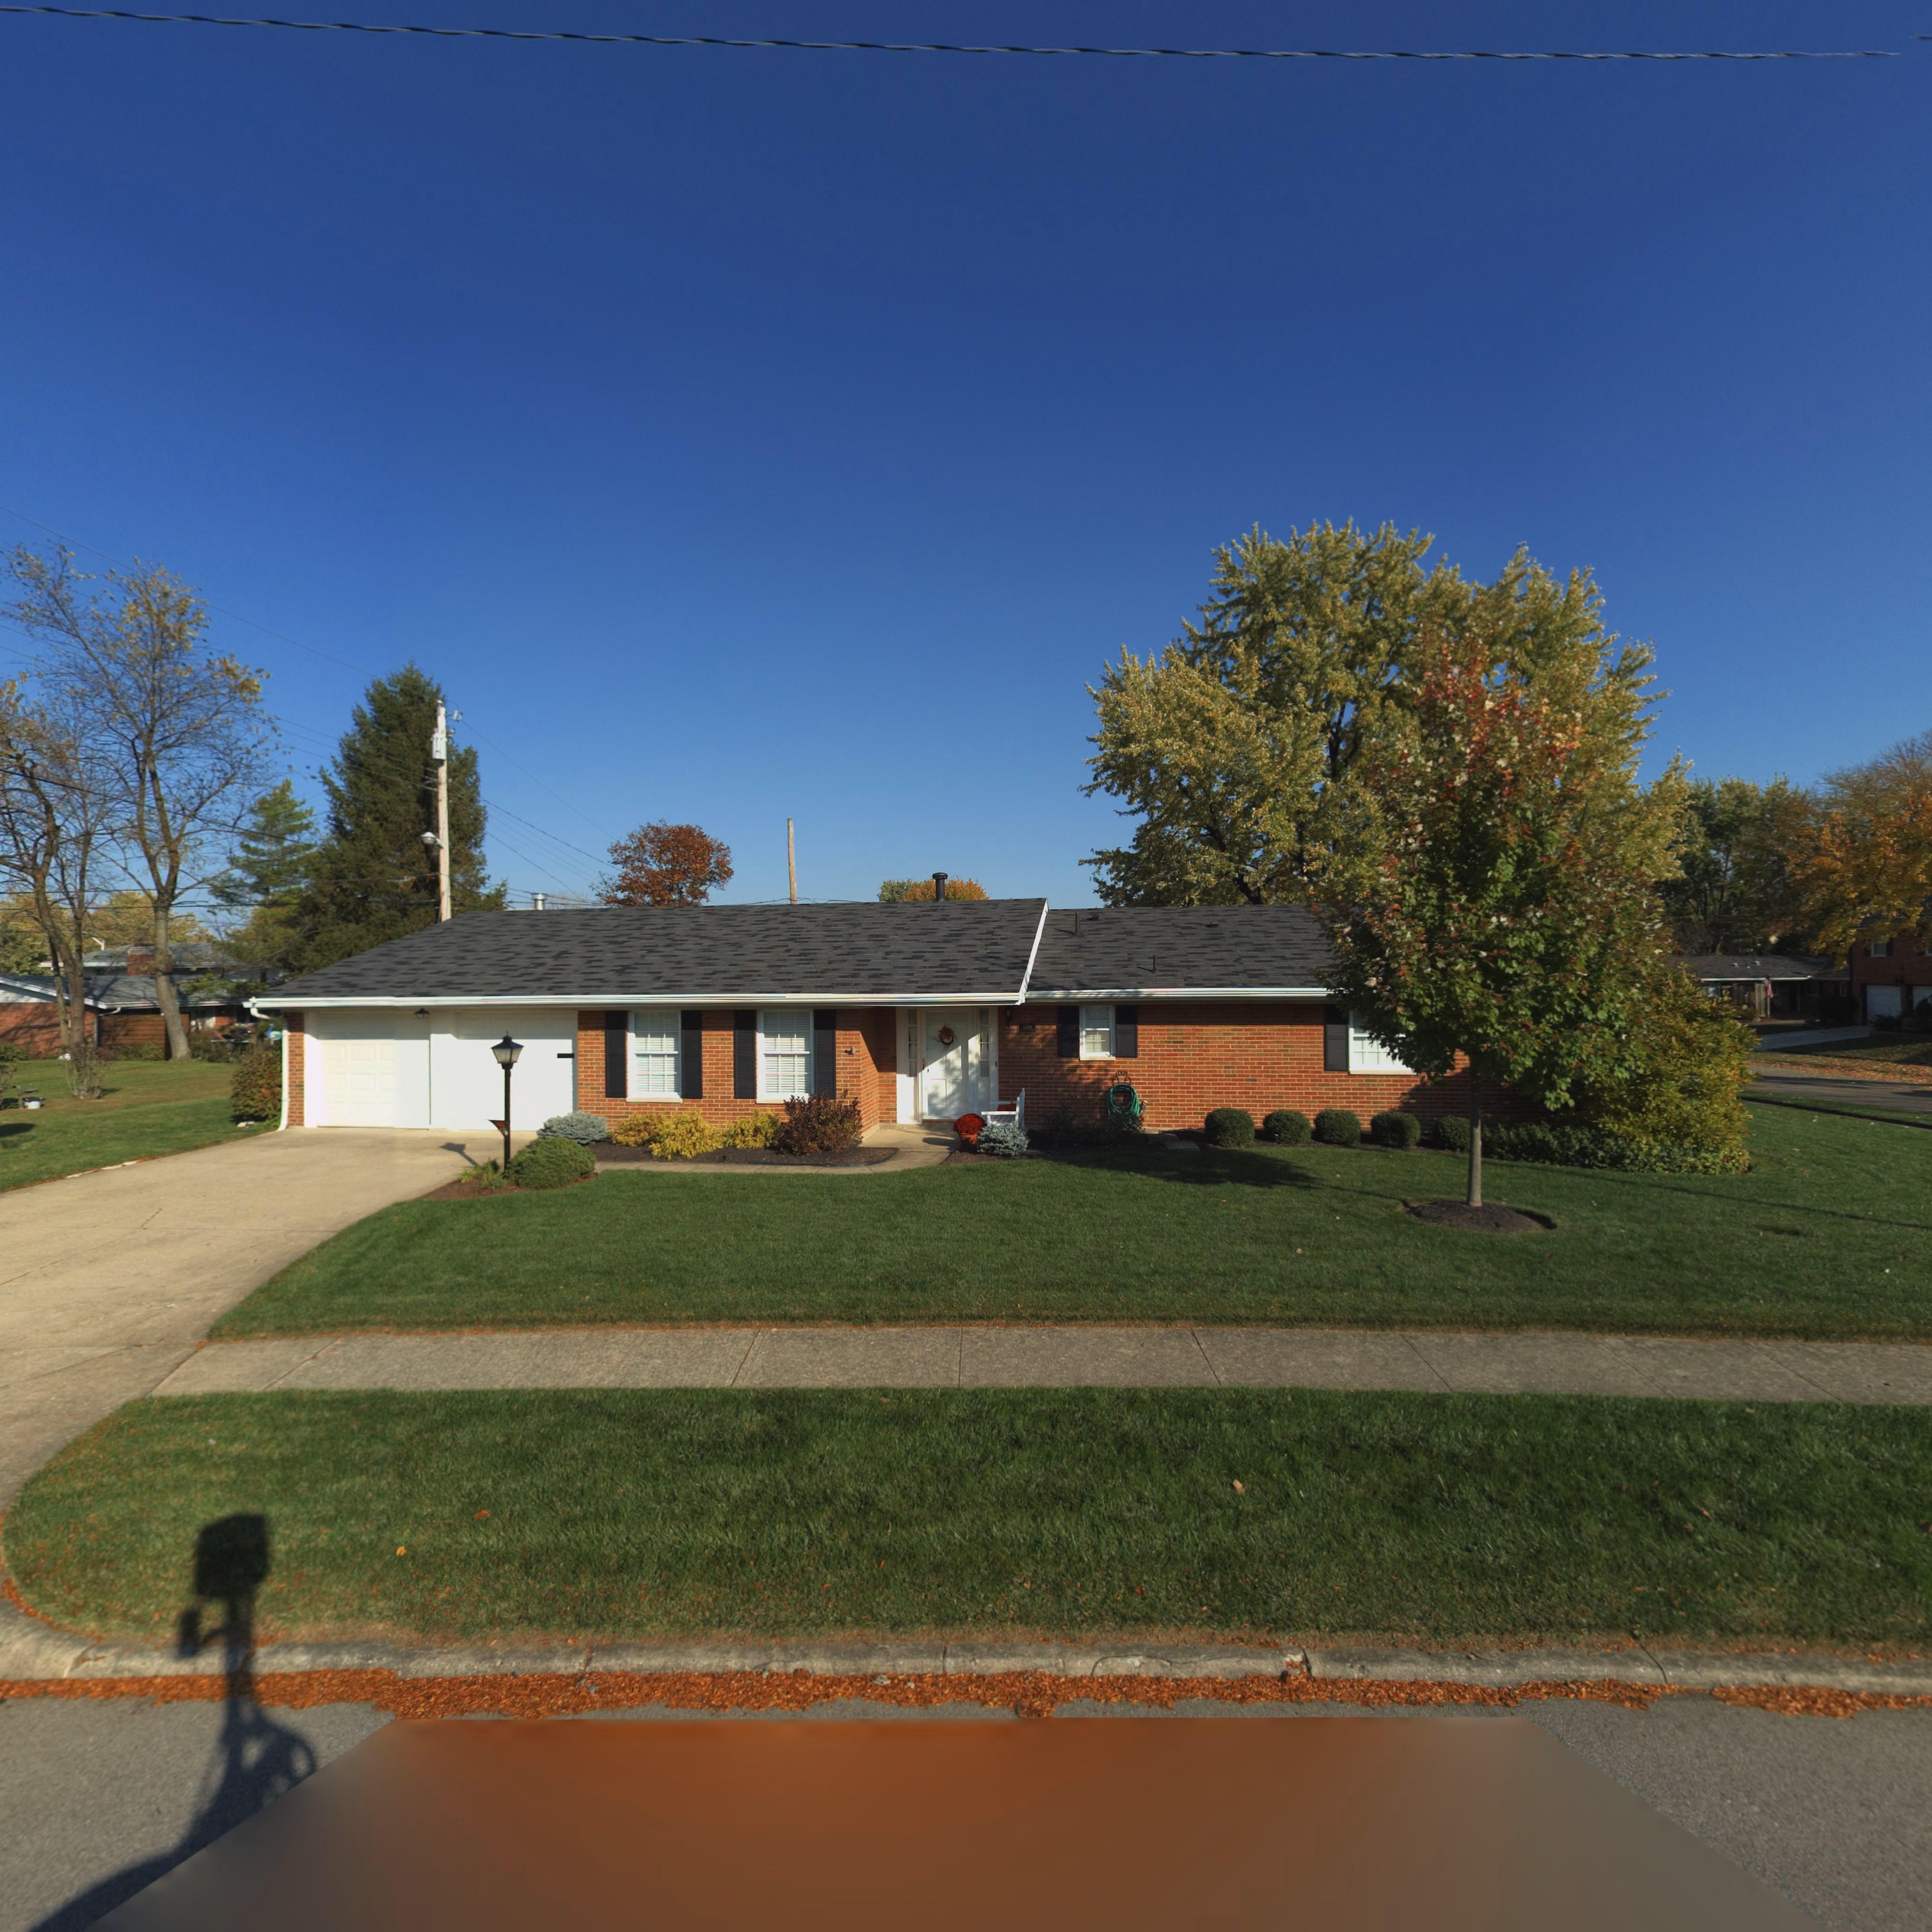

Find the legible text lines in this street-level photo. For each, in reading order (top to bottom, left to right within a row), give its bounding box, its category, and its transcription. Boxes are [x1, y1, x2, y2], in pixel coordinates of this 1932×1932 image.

[1022, 1023, 1033, 1030] StreetNumber: 3254